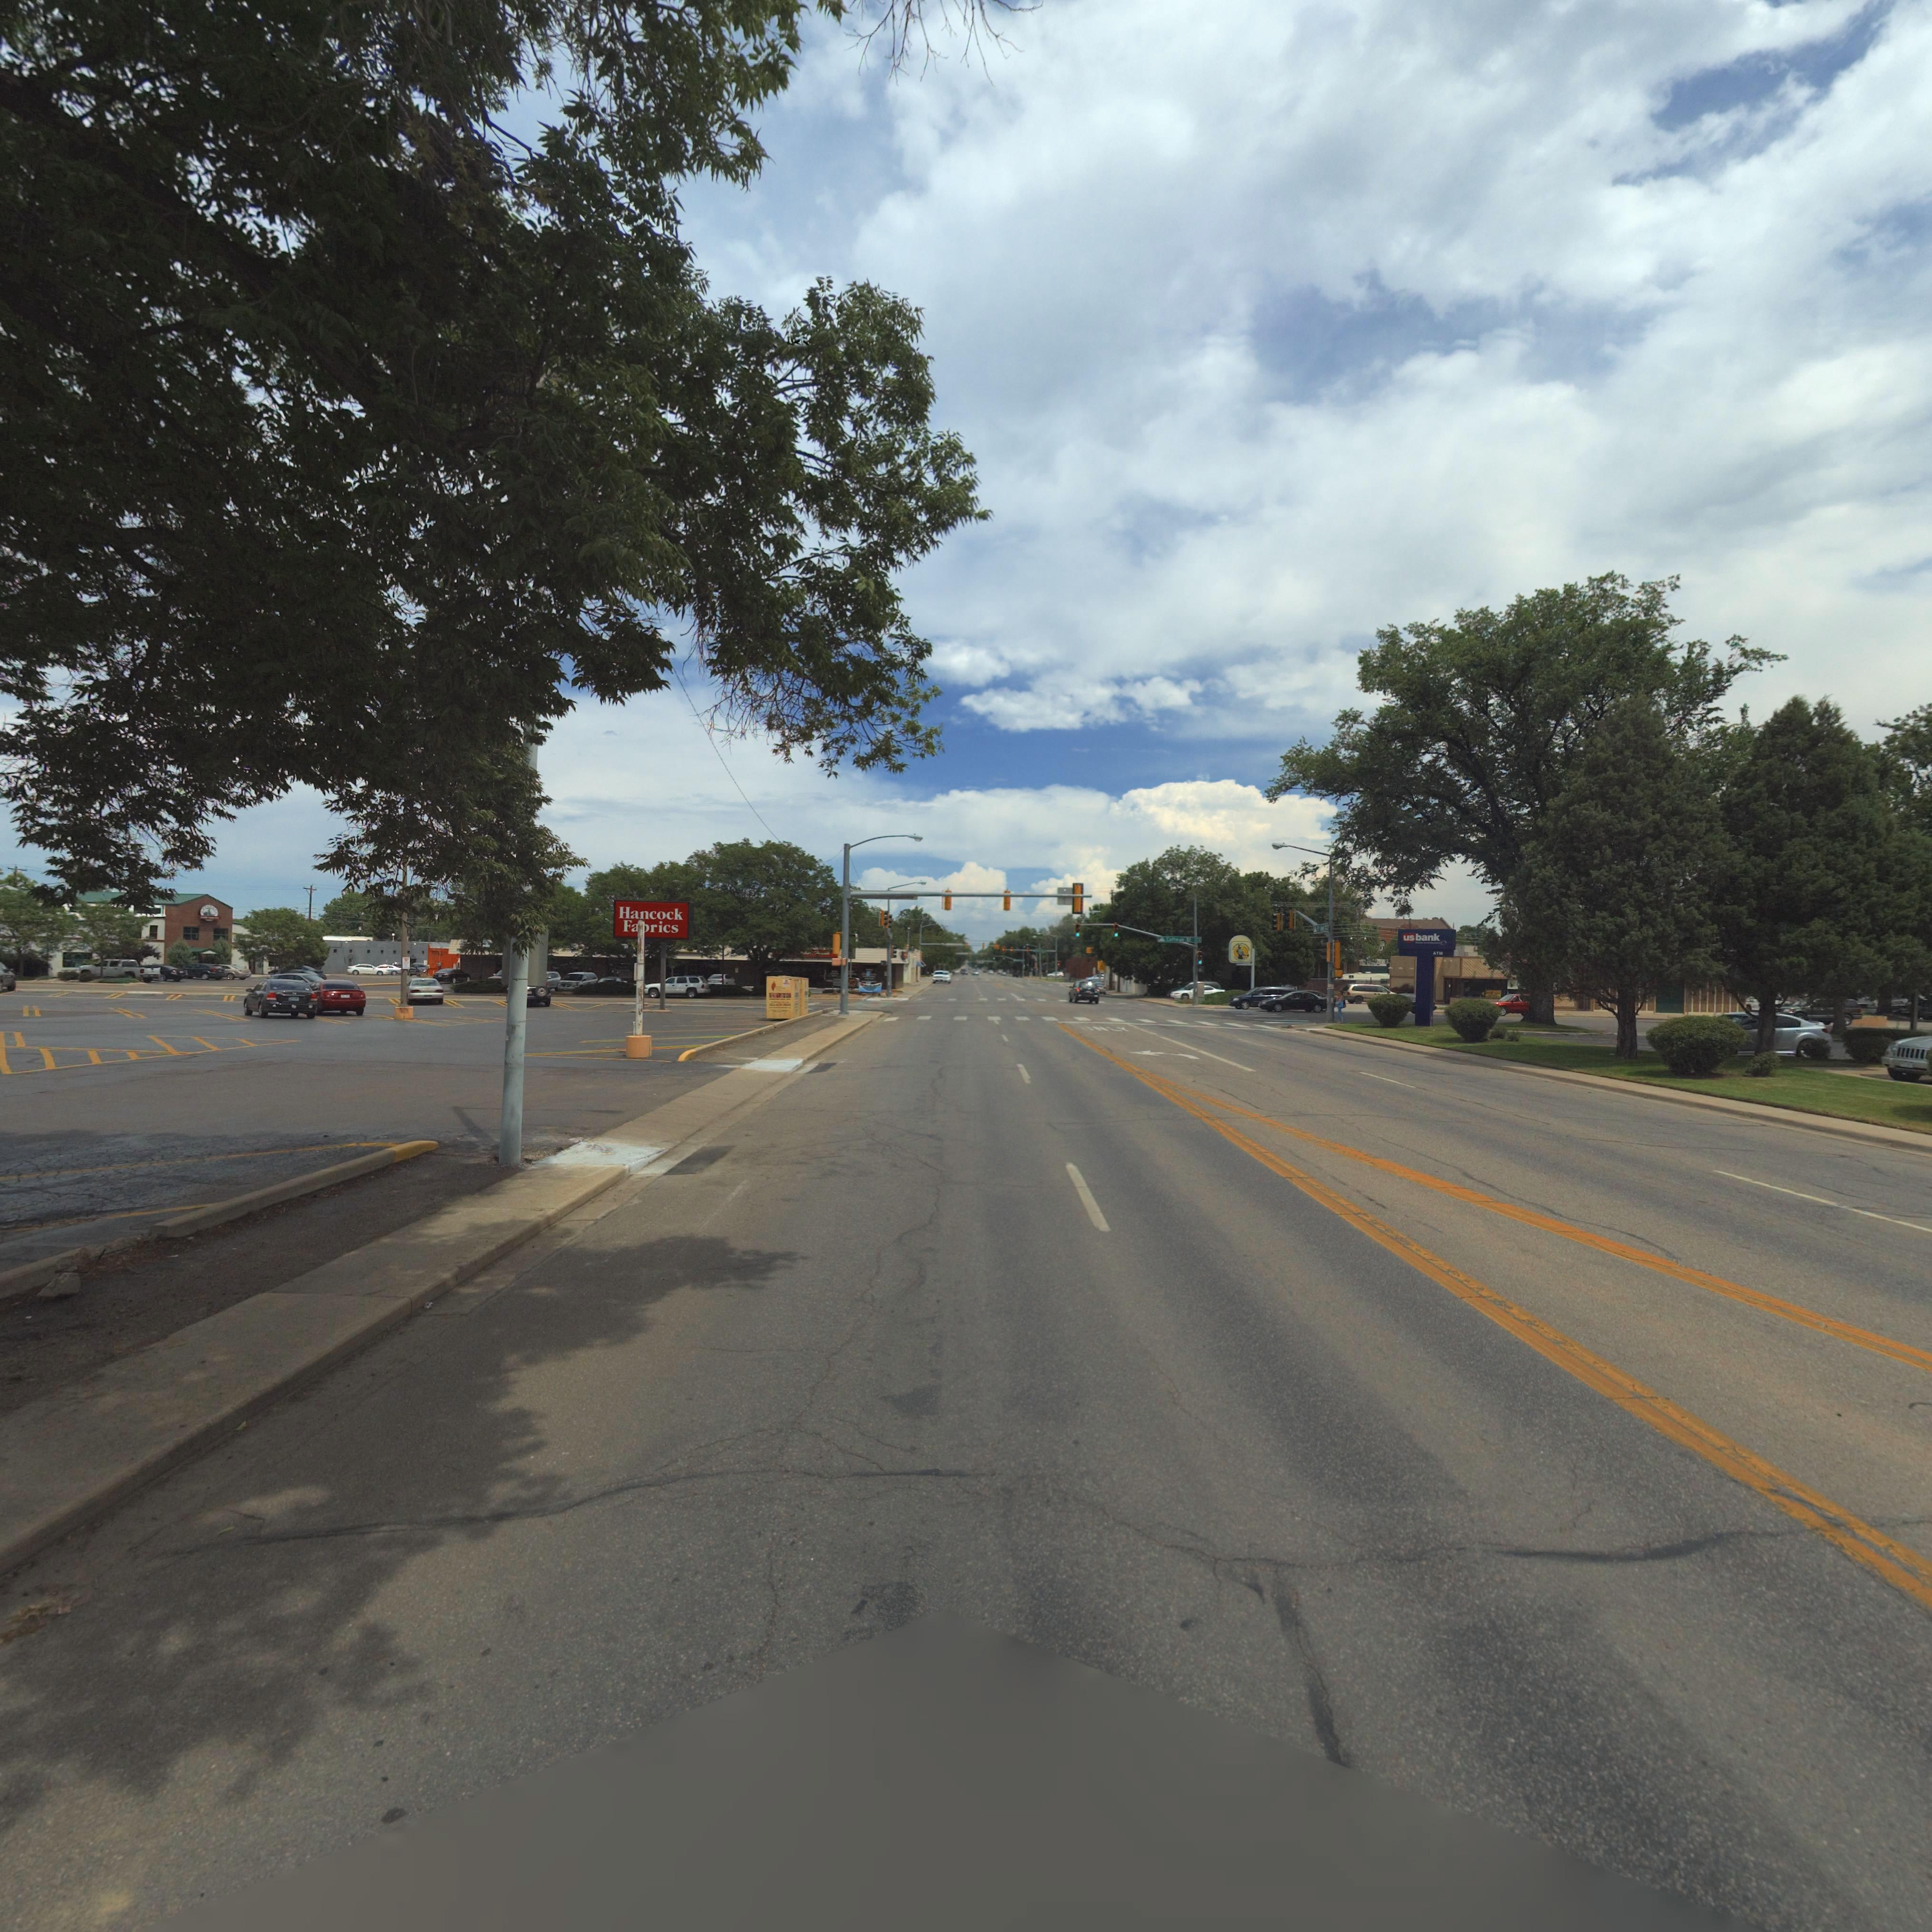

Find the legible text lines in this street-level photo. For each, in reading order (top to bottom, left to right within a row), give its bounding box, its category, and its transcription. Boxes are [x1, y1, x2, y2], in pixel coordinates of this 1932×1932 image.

[618, 906, 684, 920] BusinessName: Hancock
[622, 919, 679, 933] BusinessName: Fa*rics
[1316, 925, 1324, 931] StreetName: 9** A**
[1166, 937, 1191, 942] StreetName: Coff*** S*
[1403, 933, 1440, 941] BusinessName: us bank